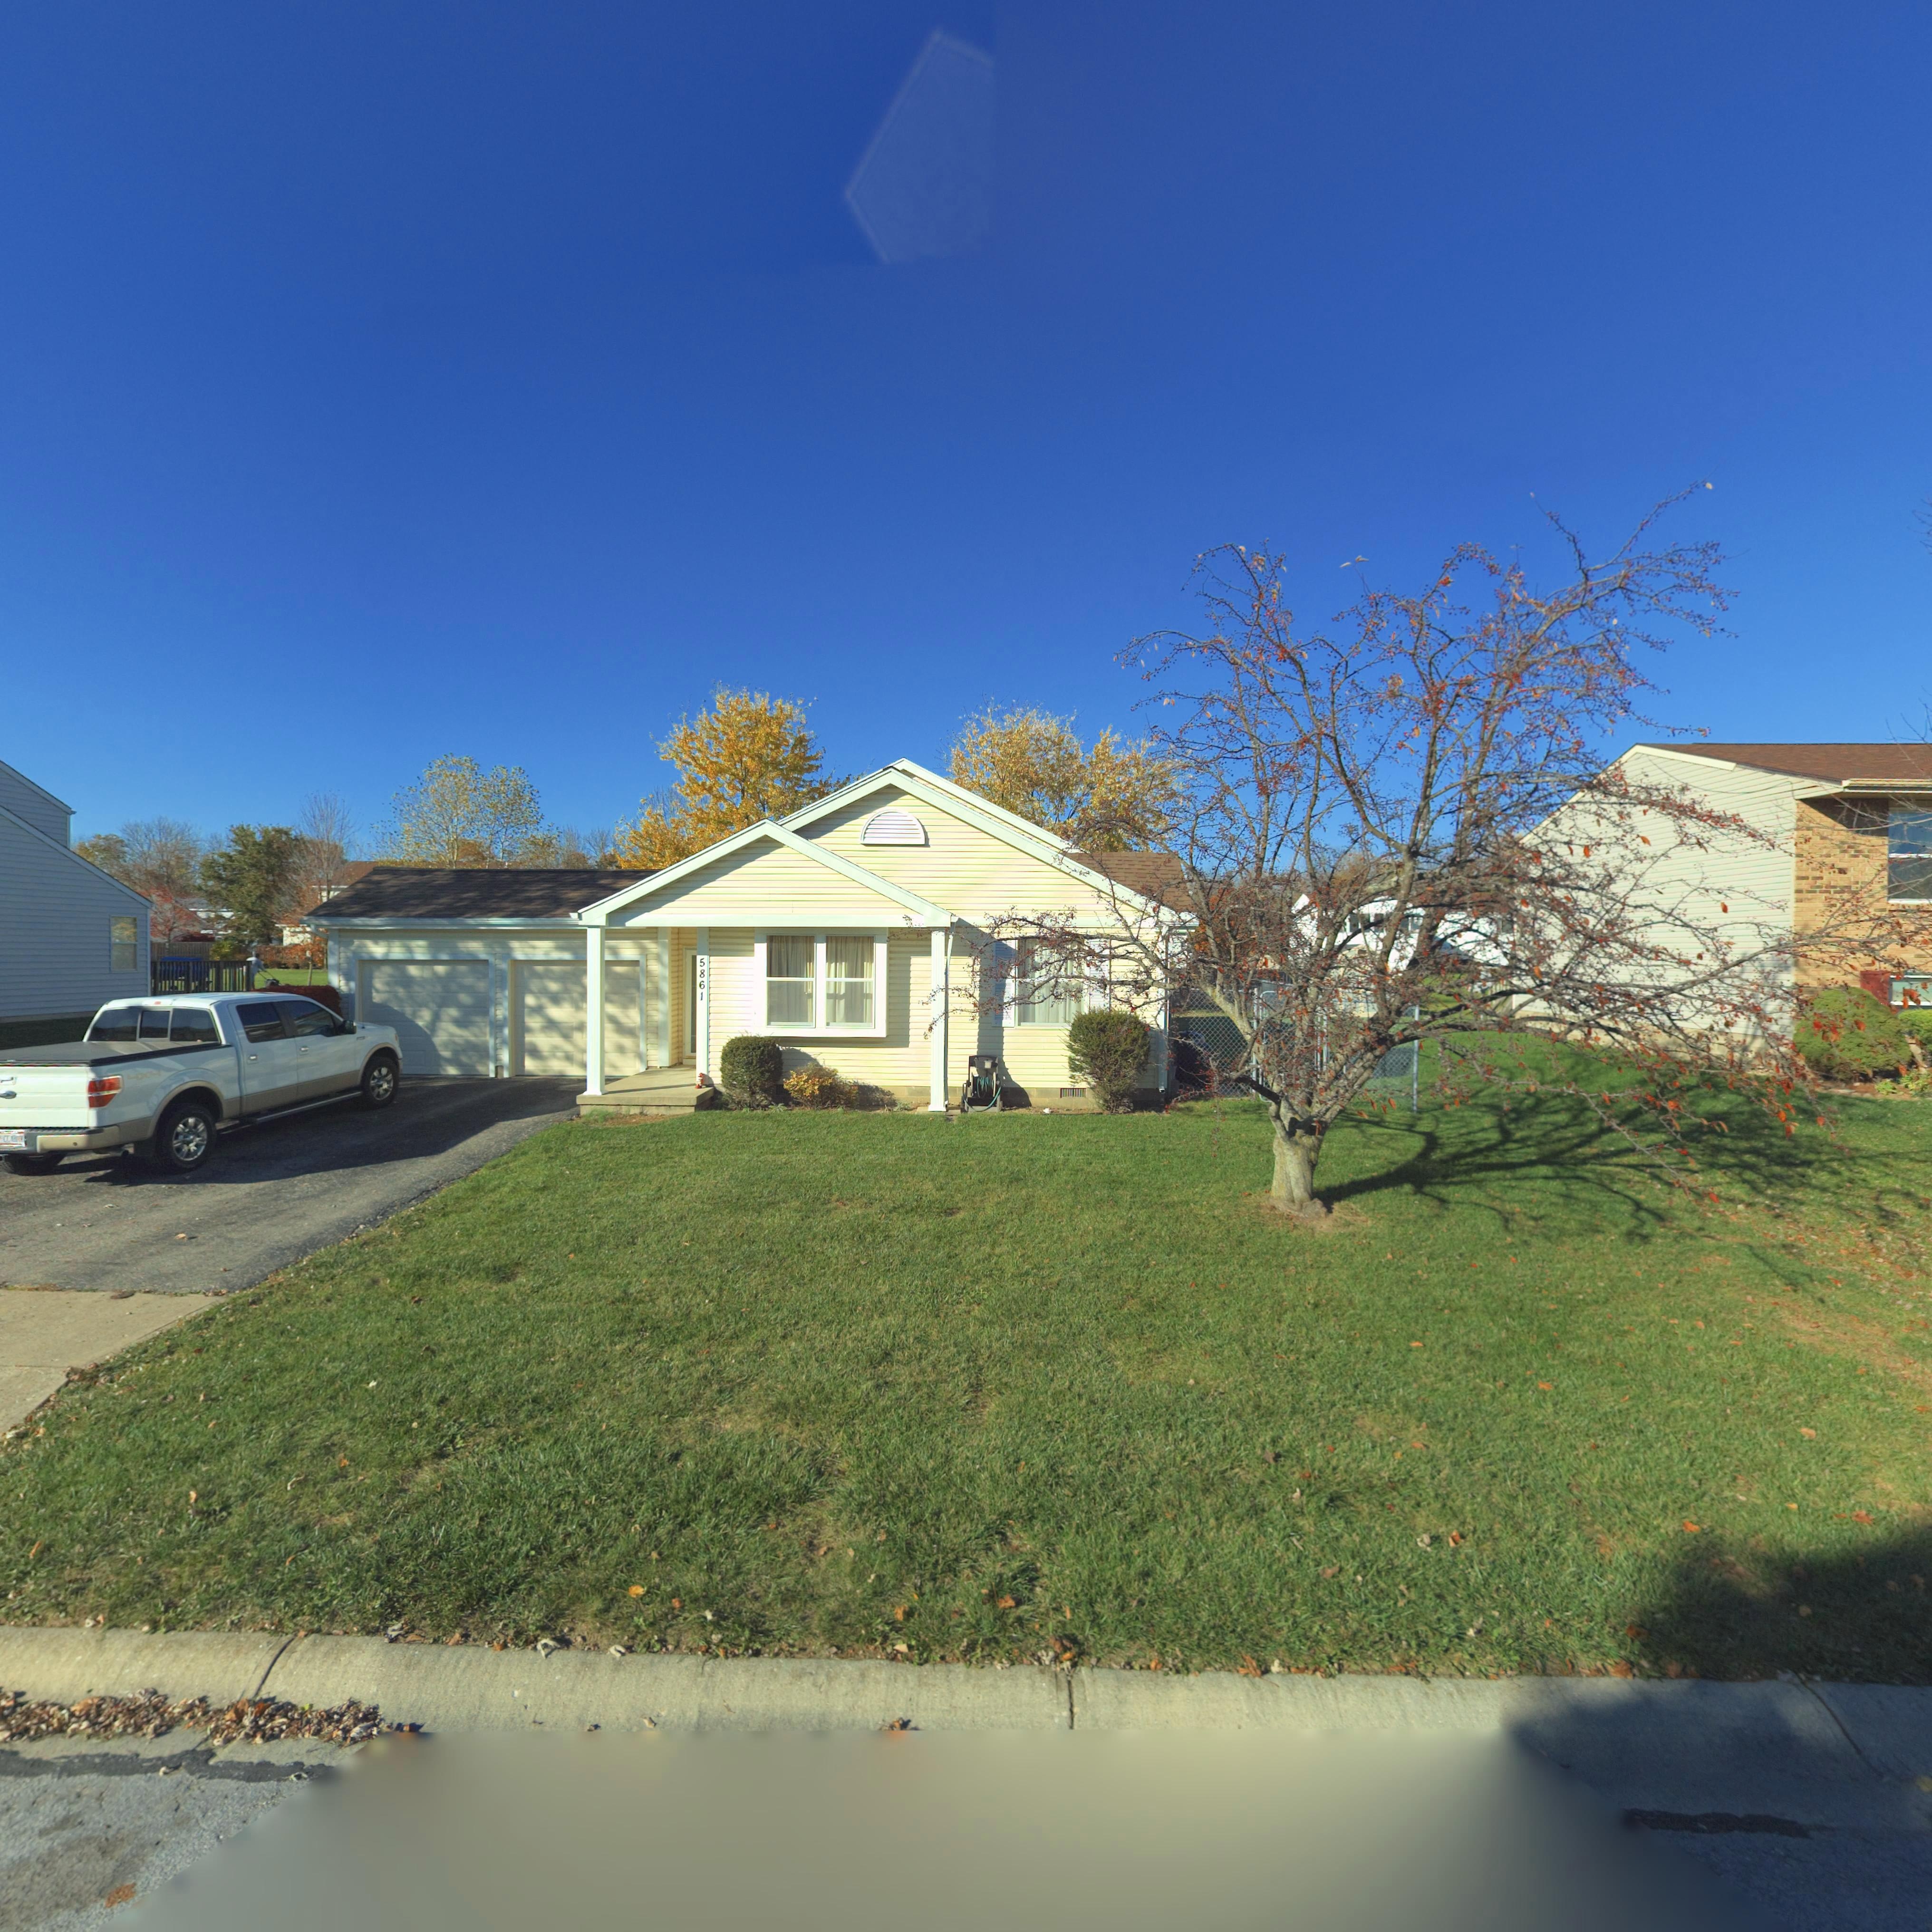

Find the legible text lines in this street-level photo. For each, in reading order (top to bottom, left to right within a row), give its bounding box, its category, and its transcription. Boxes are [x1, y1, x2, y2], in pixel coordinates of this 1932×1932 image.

[698, 956, 706, 1002] StreetNumber: 5861